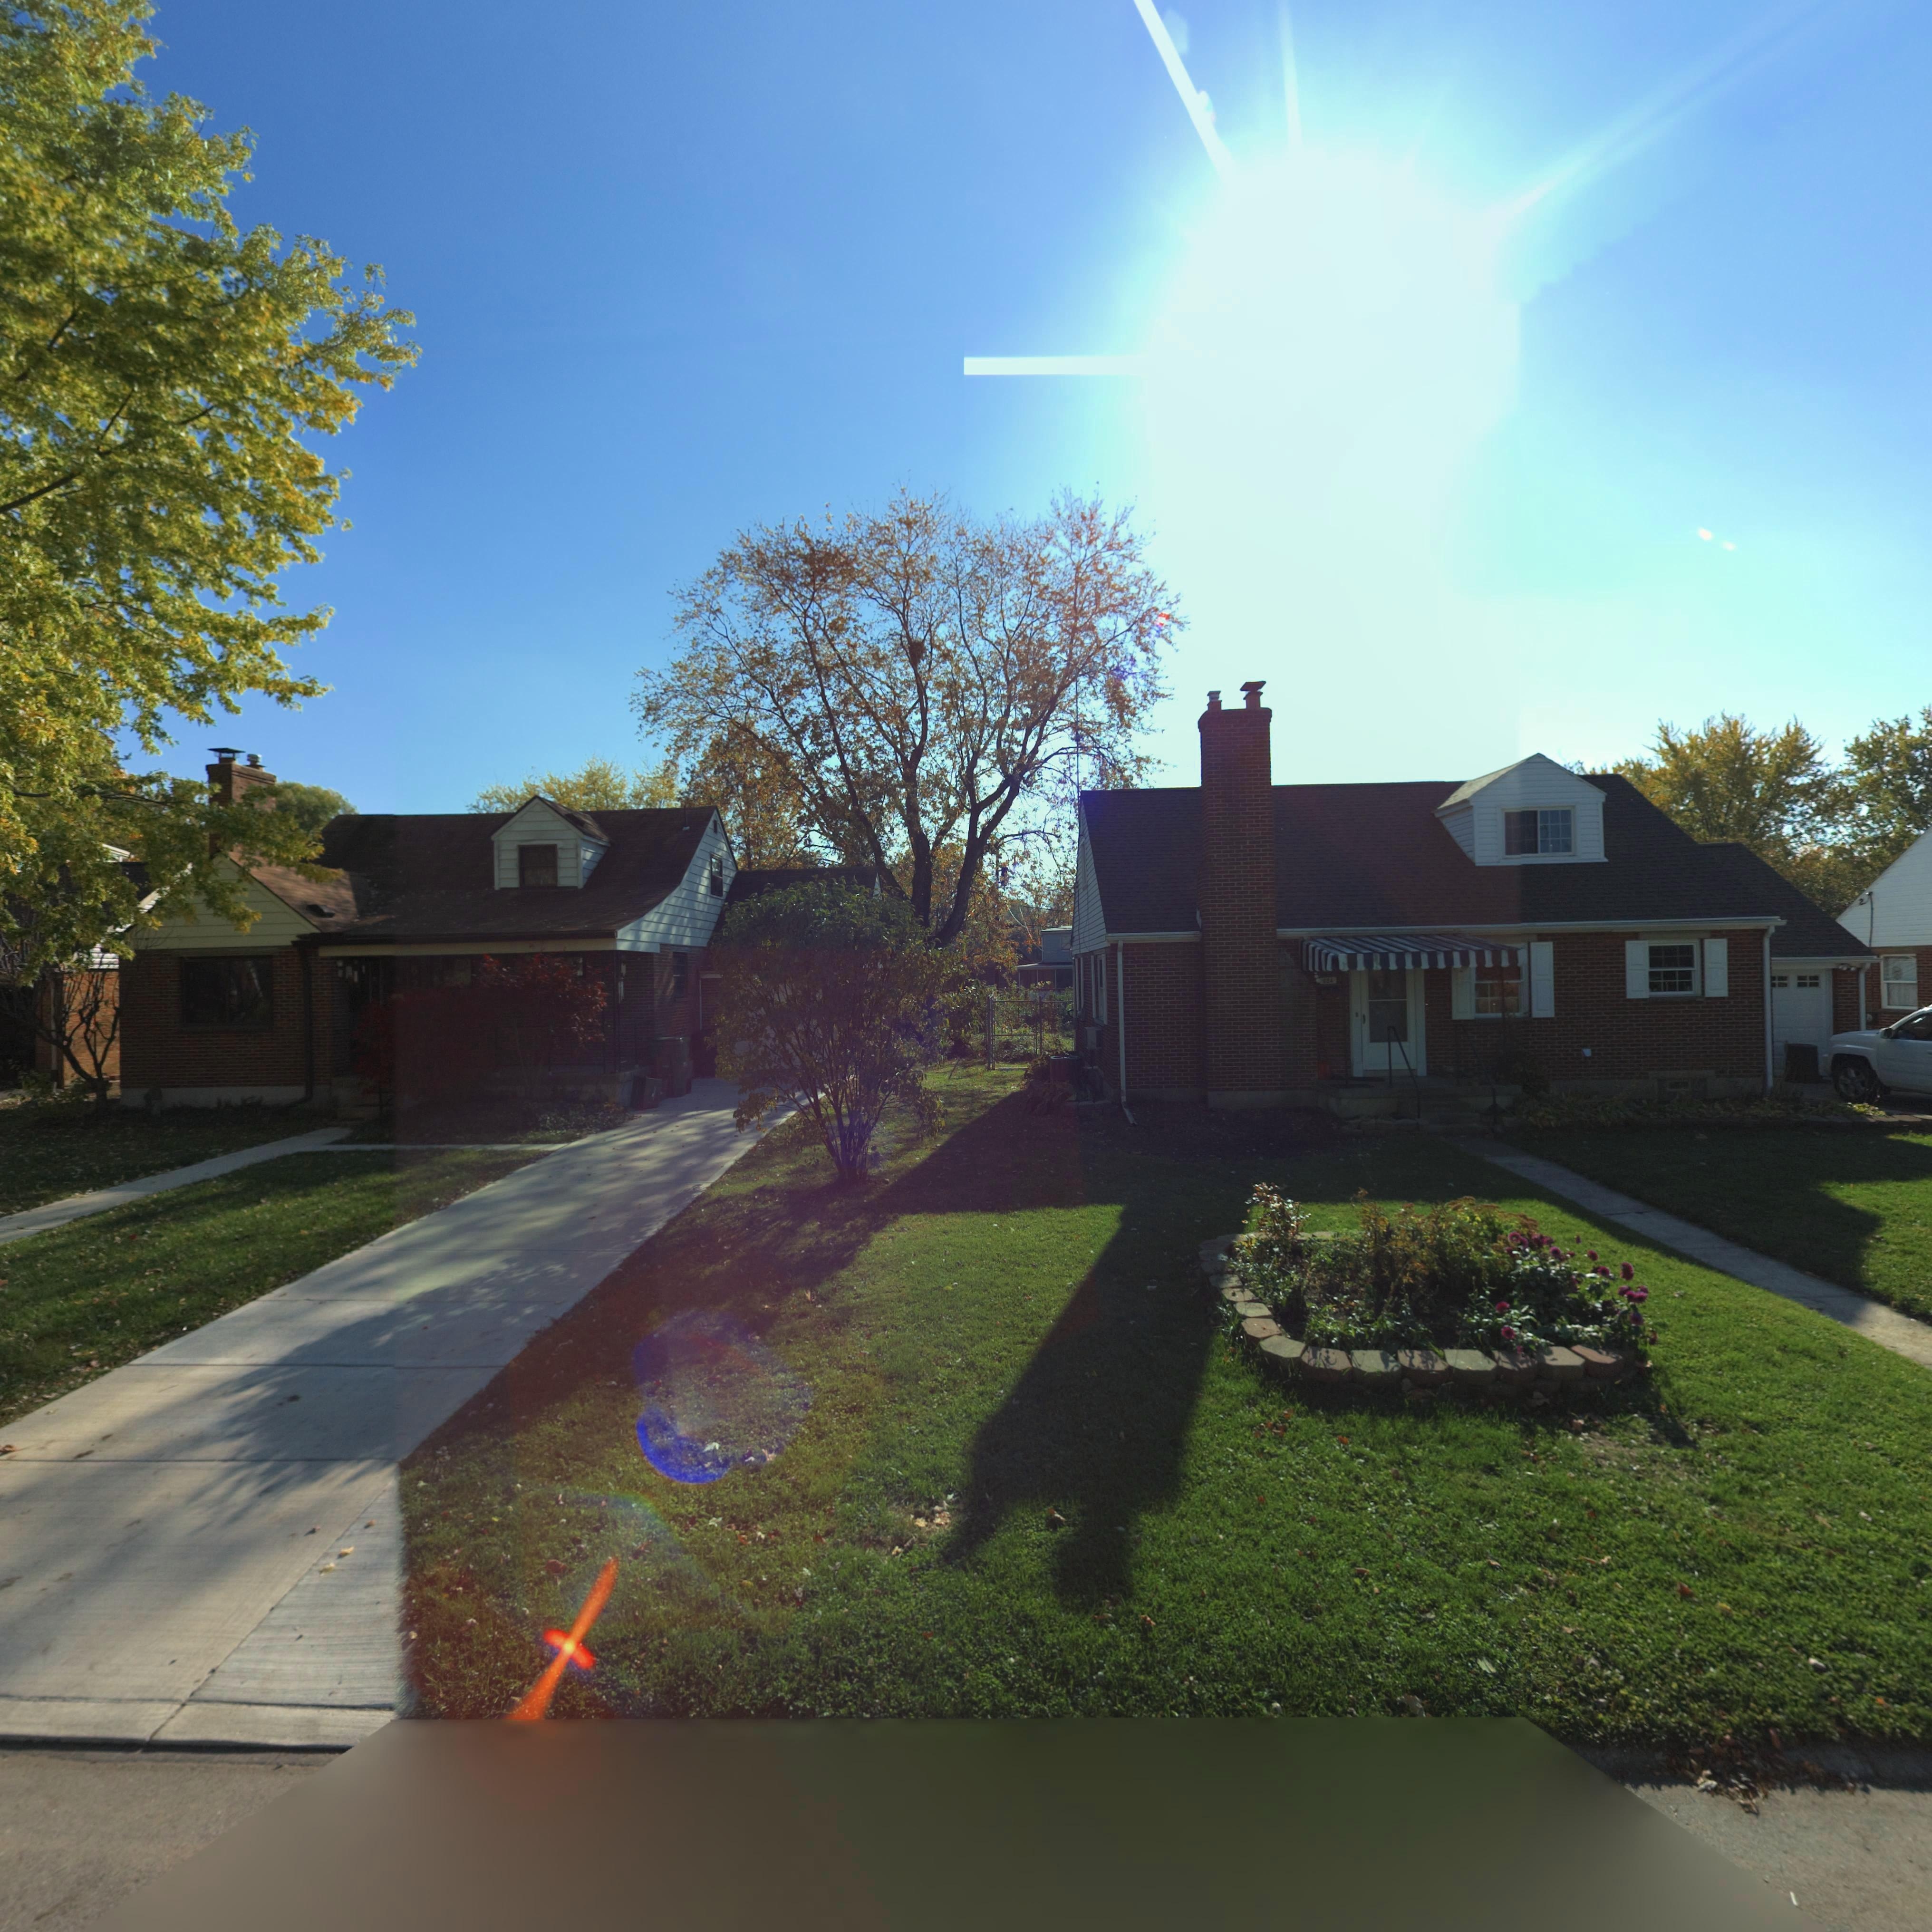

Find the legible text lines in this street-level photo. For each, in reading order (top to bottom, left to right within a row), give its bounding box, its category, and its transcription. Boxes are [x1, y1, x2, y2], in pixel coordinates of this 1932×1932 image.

[409, 963, 420, 990] StreetNumber: 62
[1322, 977, 1334, 985] StreetNumber: **4